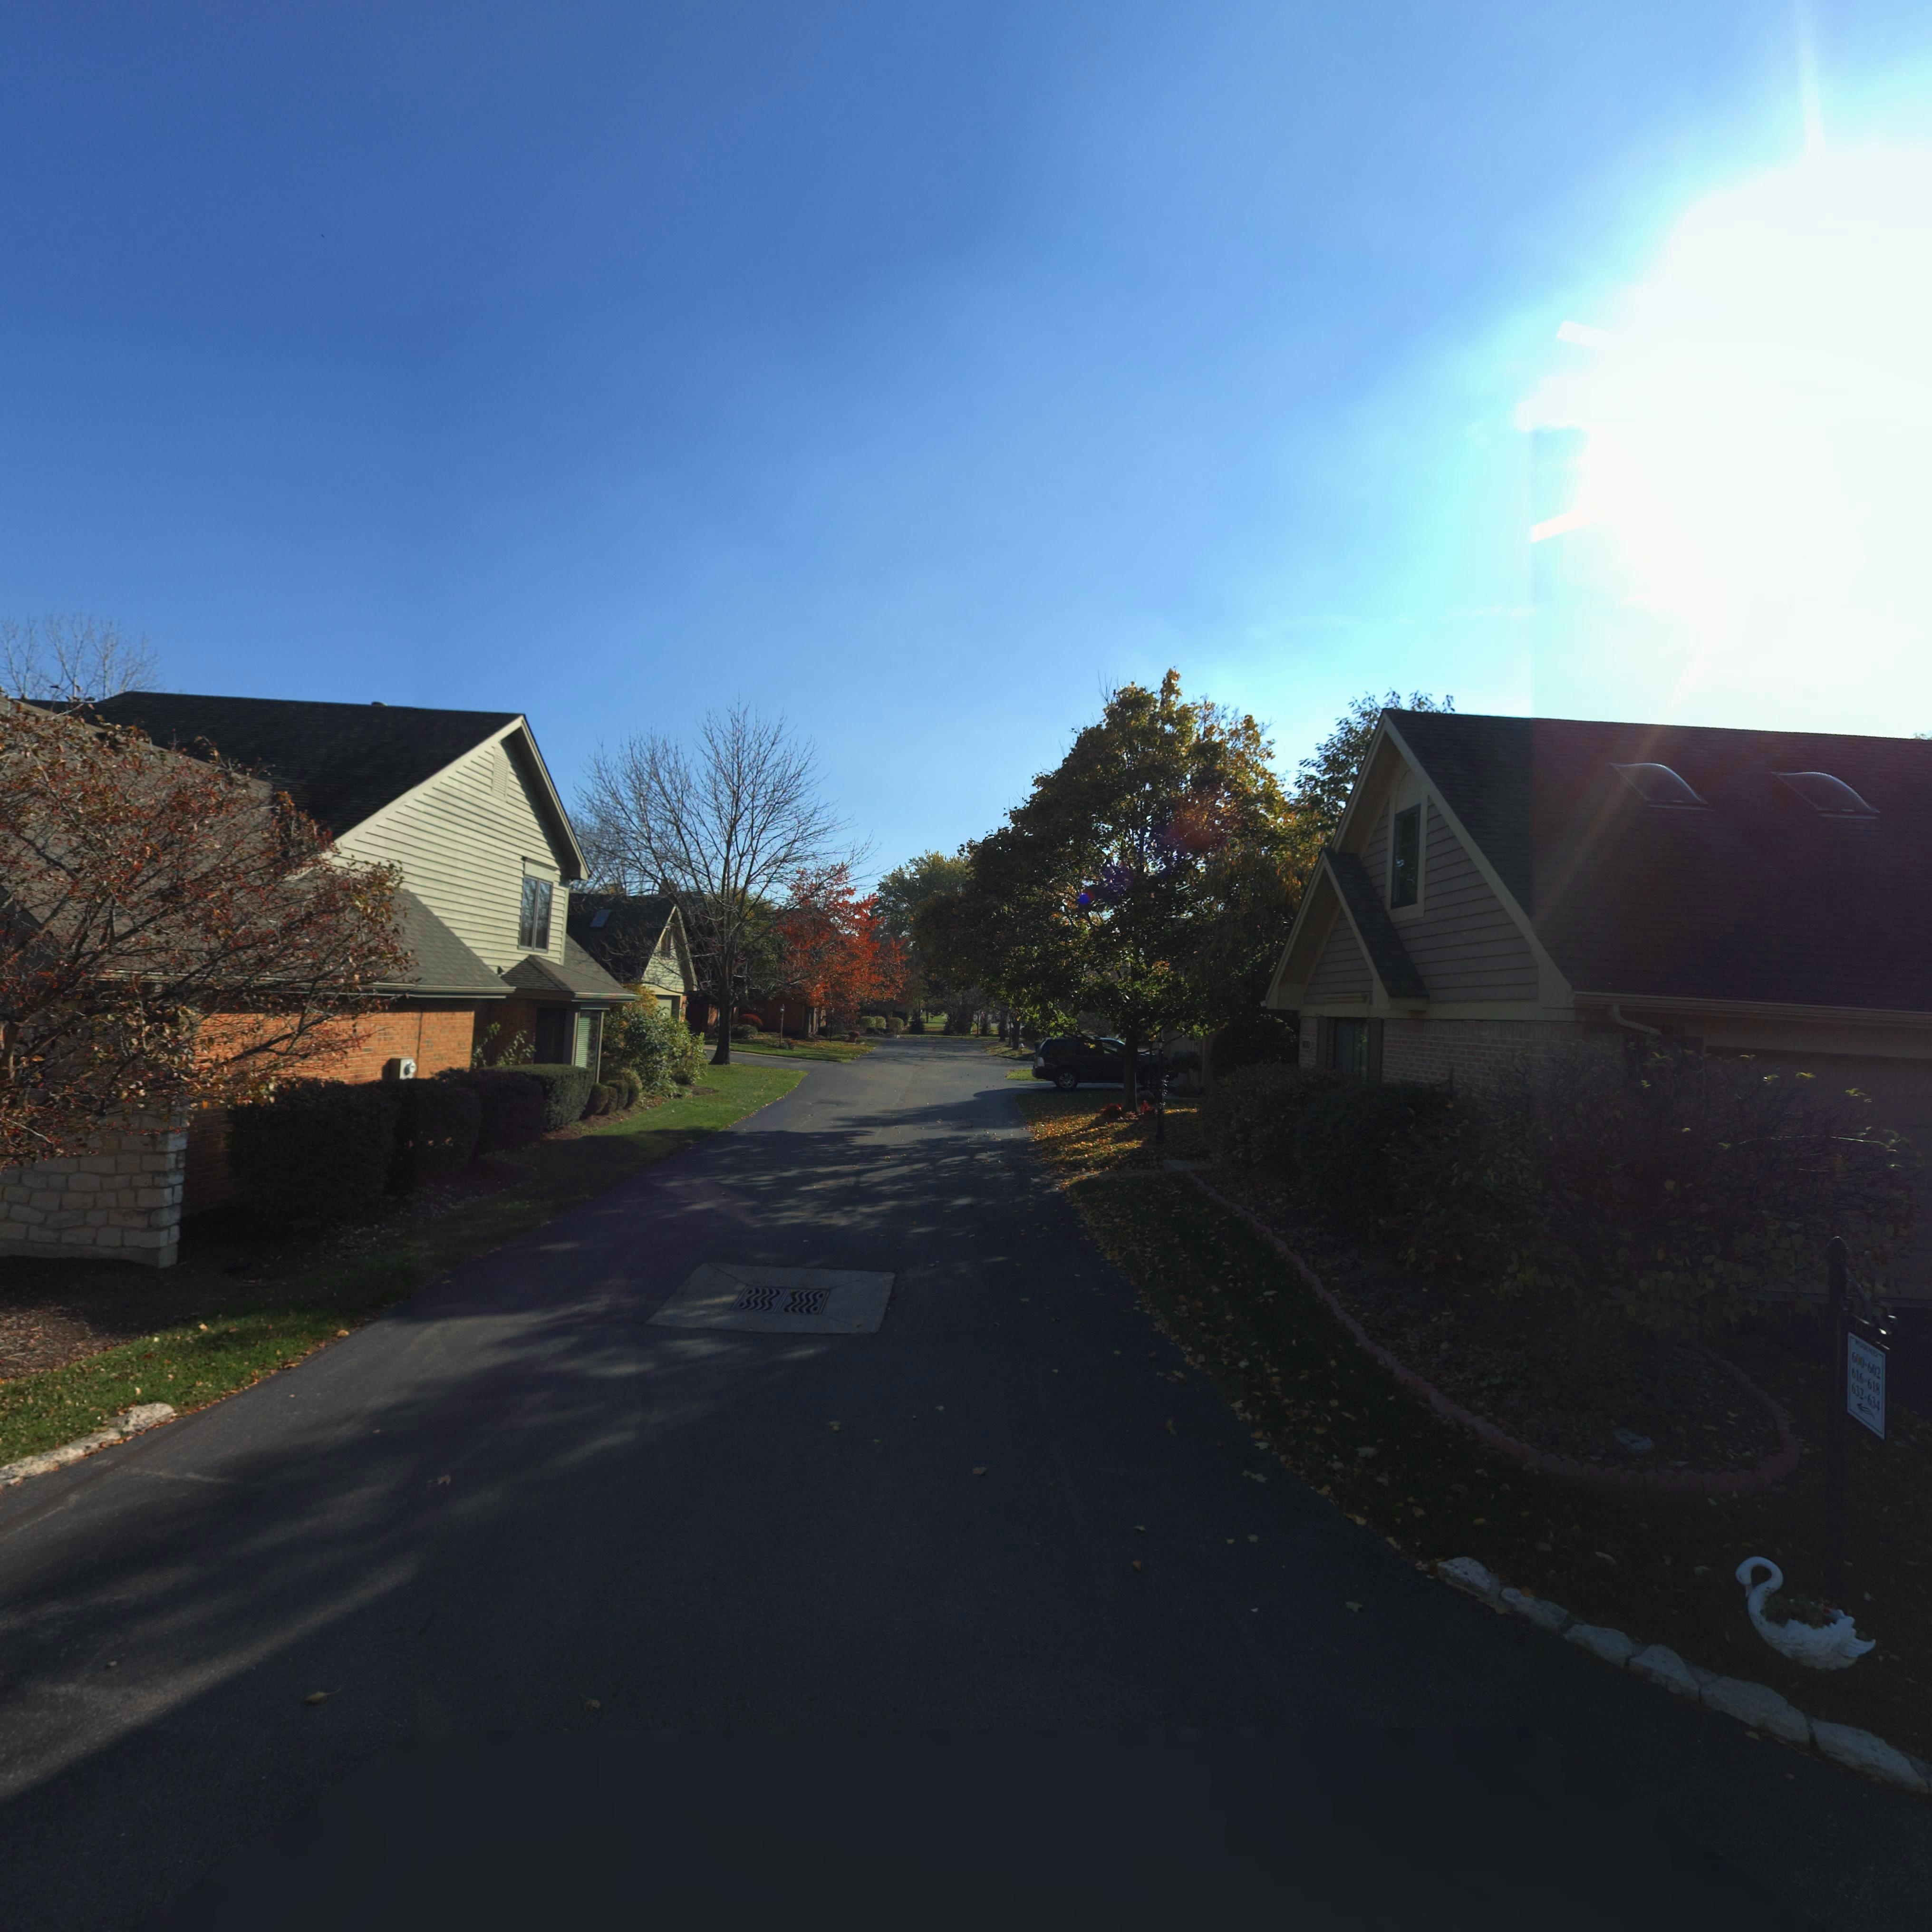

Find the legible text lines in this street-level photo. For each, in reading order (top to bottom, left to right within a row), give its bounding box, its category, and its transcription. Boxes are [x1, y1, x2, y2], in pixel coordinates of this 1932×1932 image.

[1851, 1351, 1865, 1370] StreetNumber: 600
[1851, 1367, 1864, 1385] StreetNumber: 616
[1867, 1361, 1883, 1381] StreetNumber: 602
[1851, 1381, 1865, 1401] StreetNumber: 632
[1867, 1377, 1881, 1397] StreetNumber: 618
[1866, 1393, 1881, 1413] StreetNumber: 634